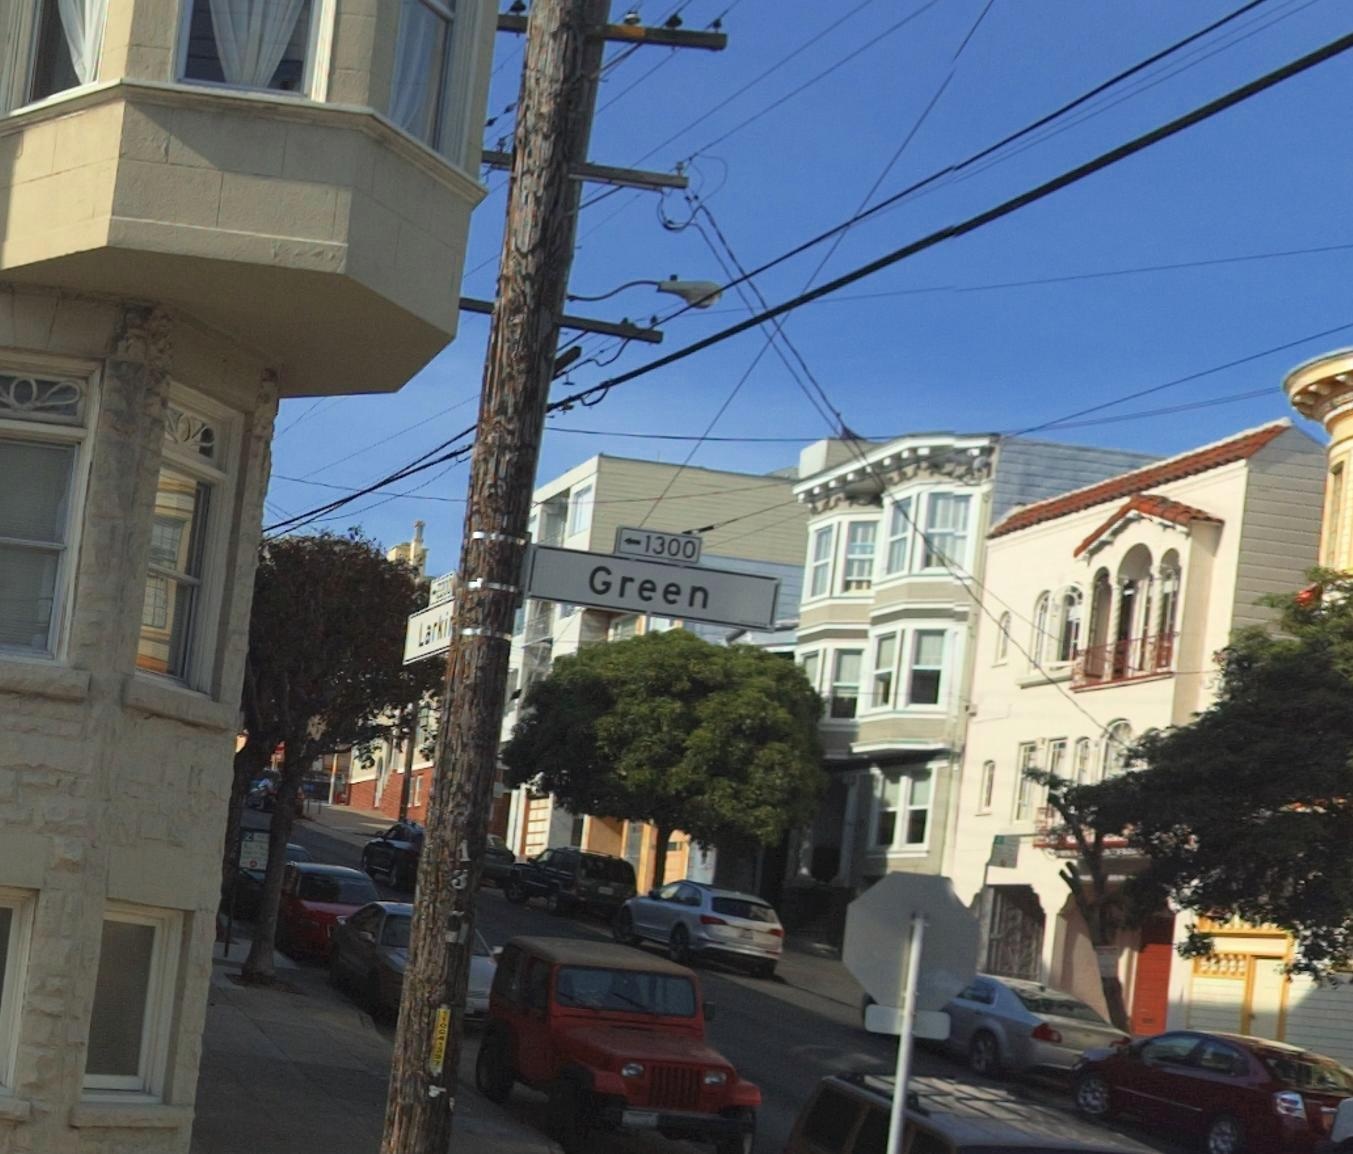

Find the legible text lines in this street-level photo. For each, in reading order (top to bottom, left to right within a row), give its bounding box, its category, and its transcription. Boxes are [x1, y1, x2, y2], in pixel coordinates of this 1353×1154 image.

[619, 530, 700, 563] StreetNumberRange: <-1300
[583, 560, 717, 613] StreetName: Green
[415, 606, 452, 654] StreetName: Larki